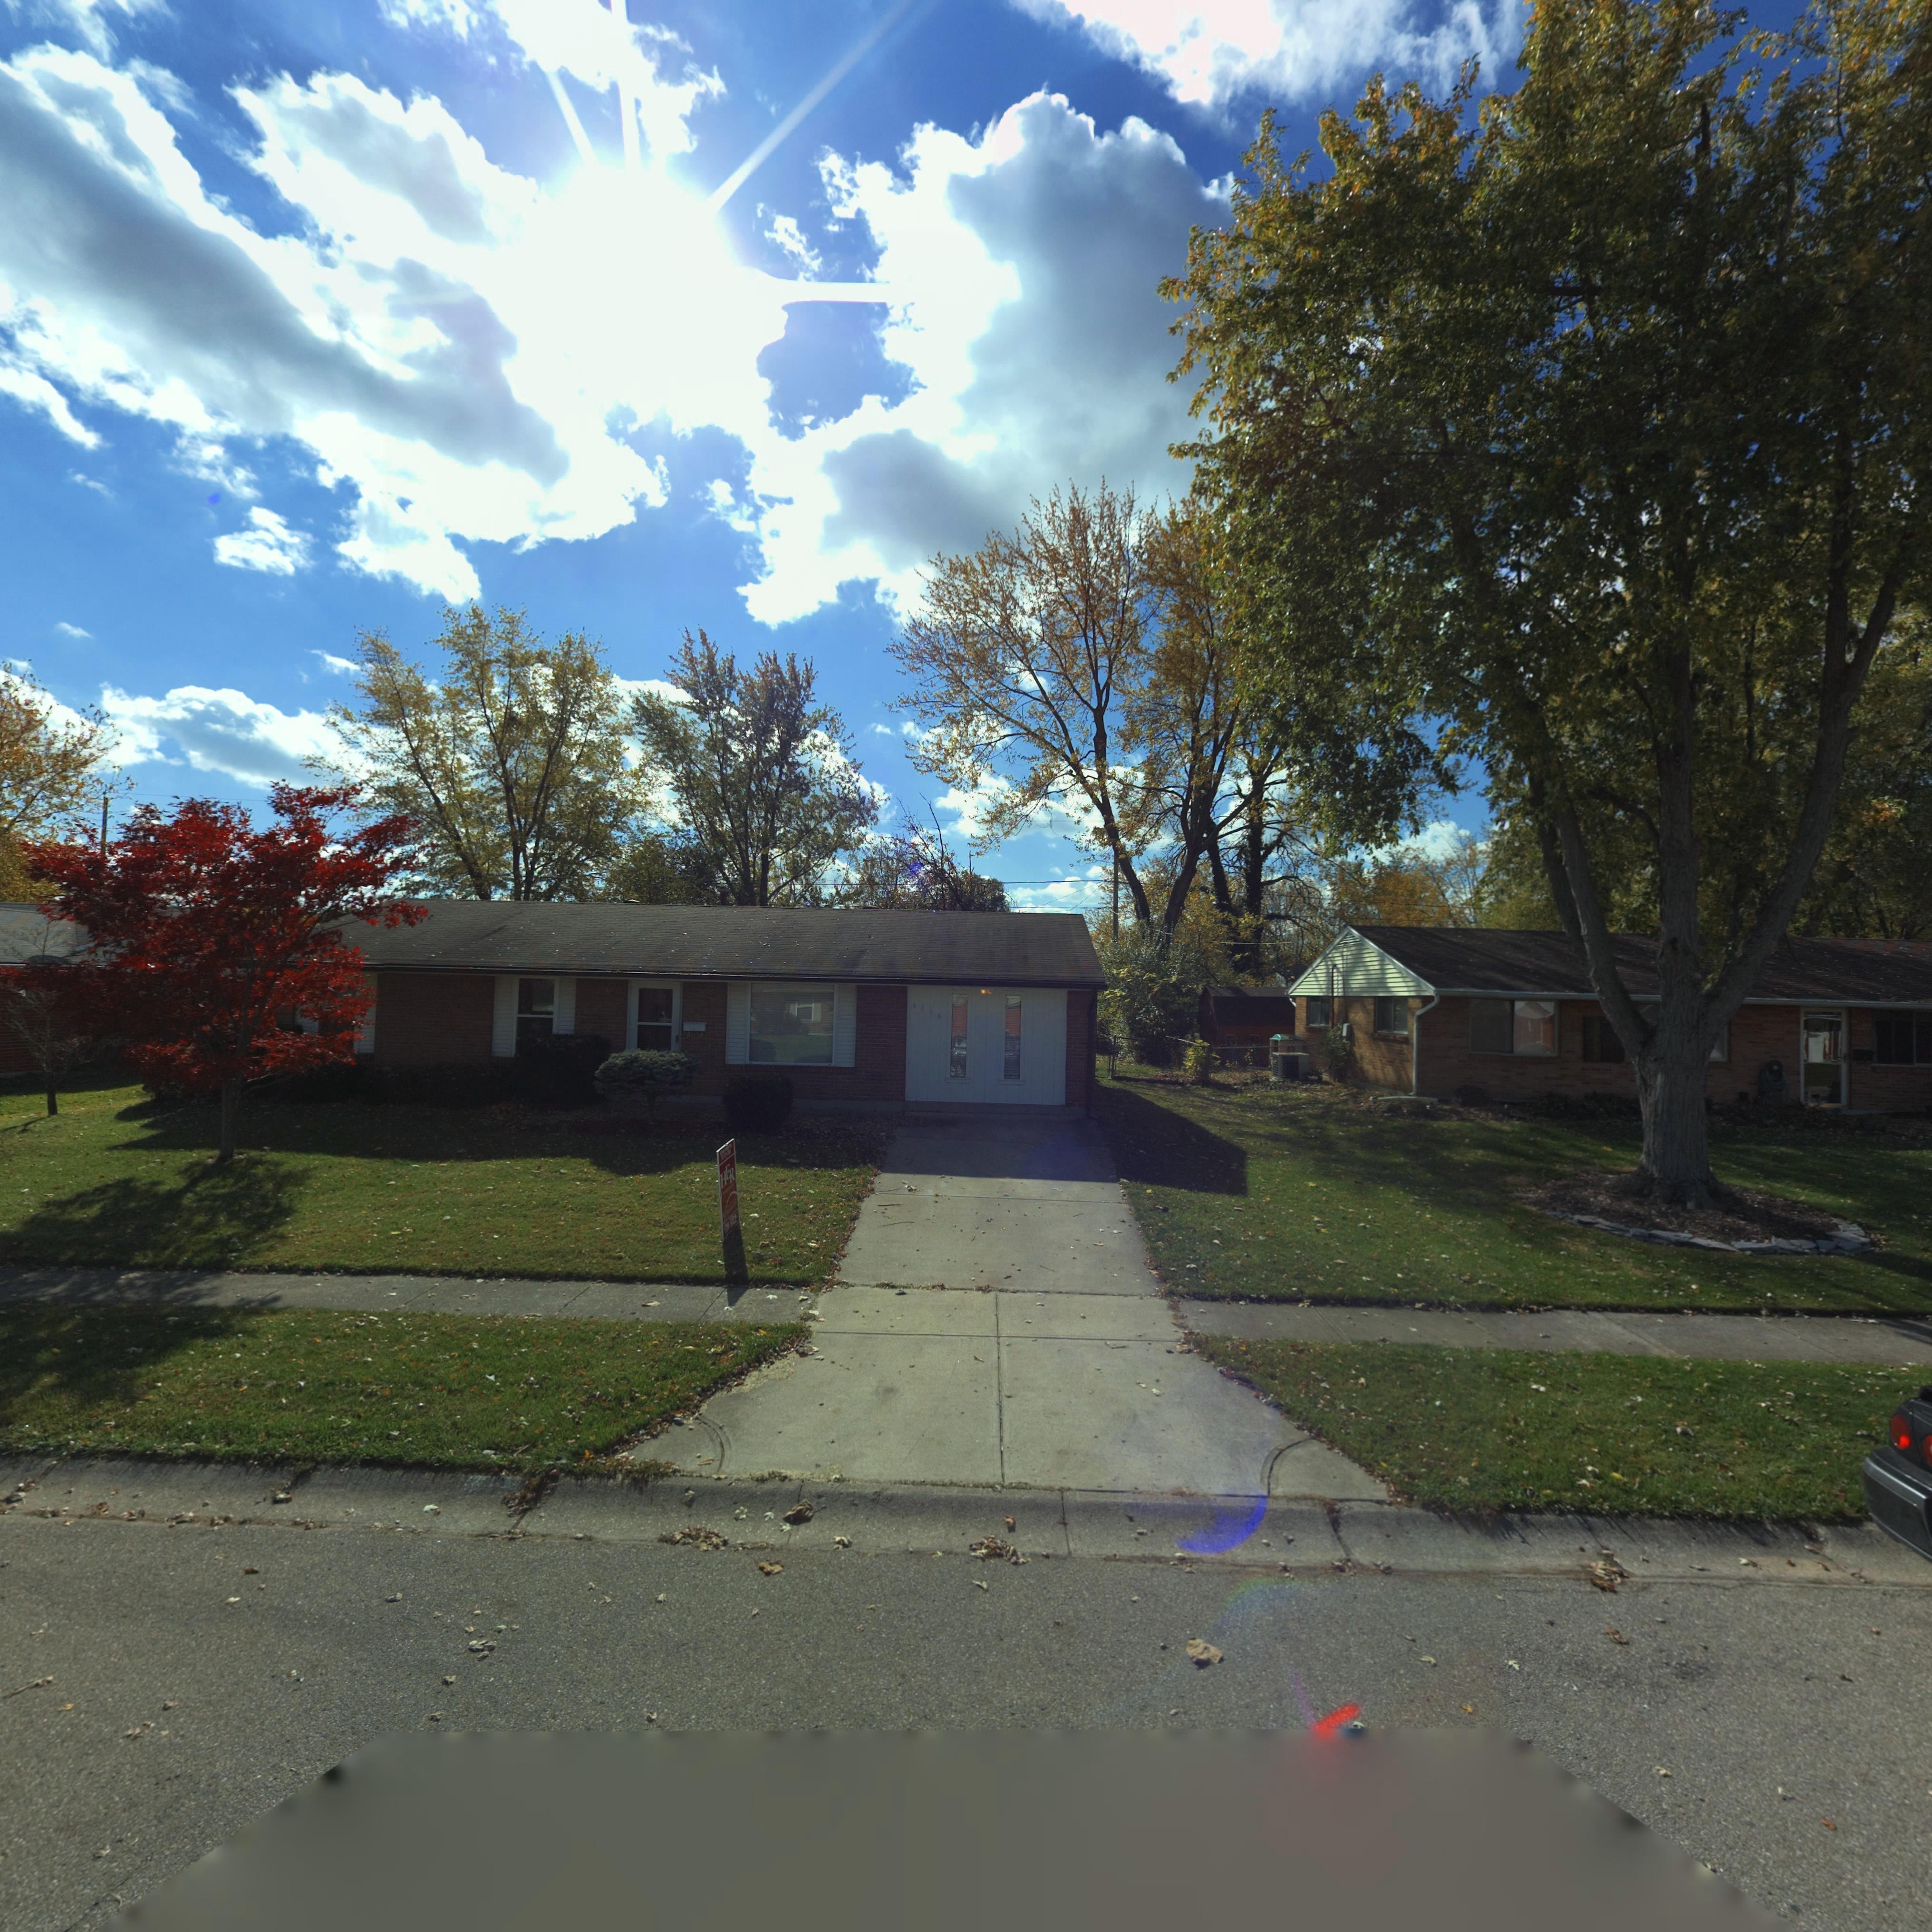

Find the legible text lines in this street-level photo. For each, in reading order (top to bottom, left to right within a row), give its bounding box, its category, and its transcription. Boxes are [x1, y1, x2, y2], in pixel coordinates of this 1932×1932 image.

[912, 1001, 942, 1020] StreetNumber: 6814